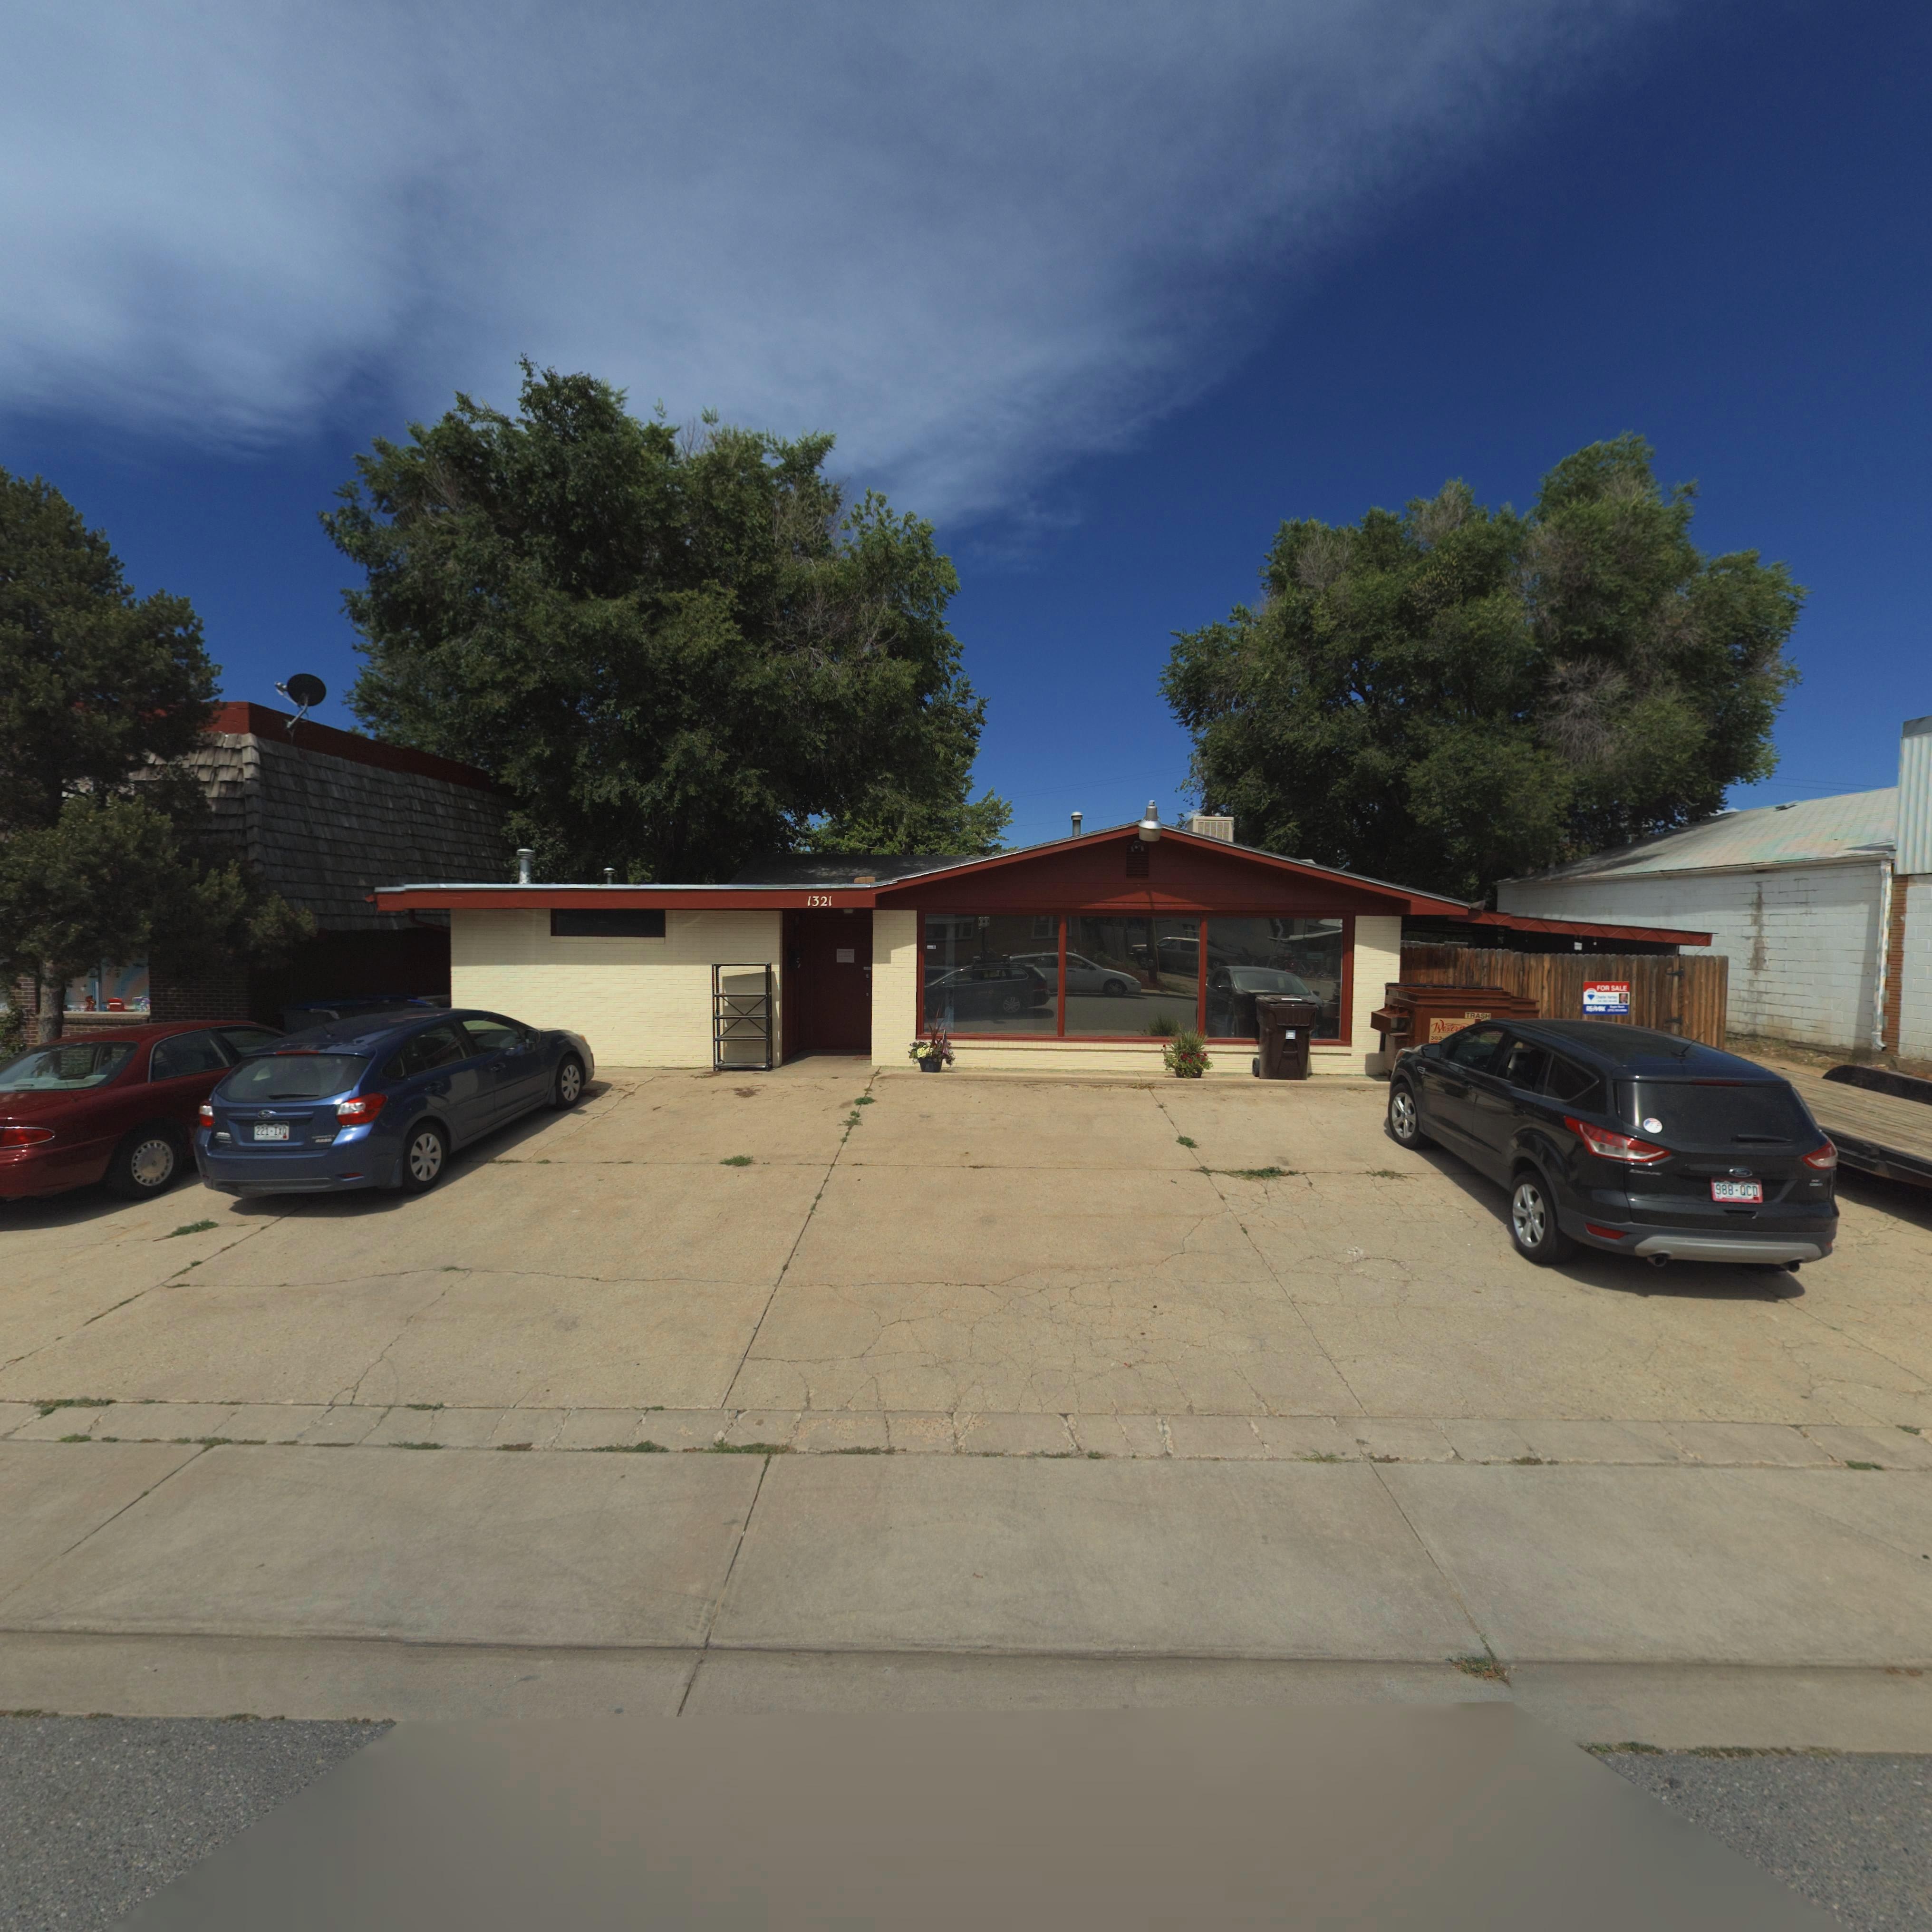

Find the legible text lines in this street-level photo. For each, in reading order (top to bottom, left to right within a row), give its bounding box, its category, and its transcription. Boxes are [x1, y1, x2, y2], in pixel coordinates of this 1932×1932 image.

[807, 895, 832, 907] StreetNumber: 1321